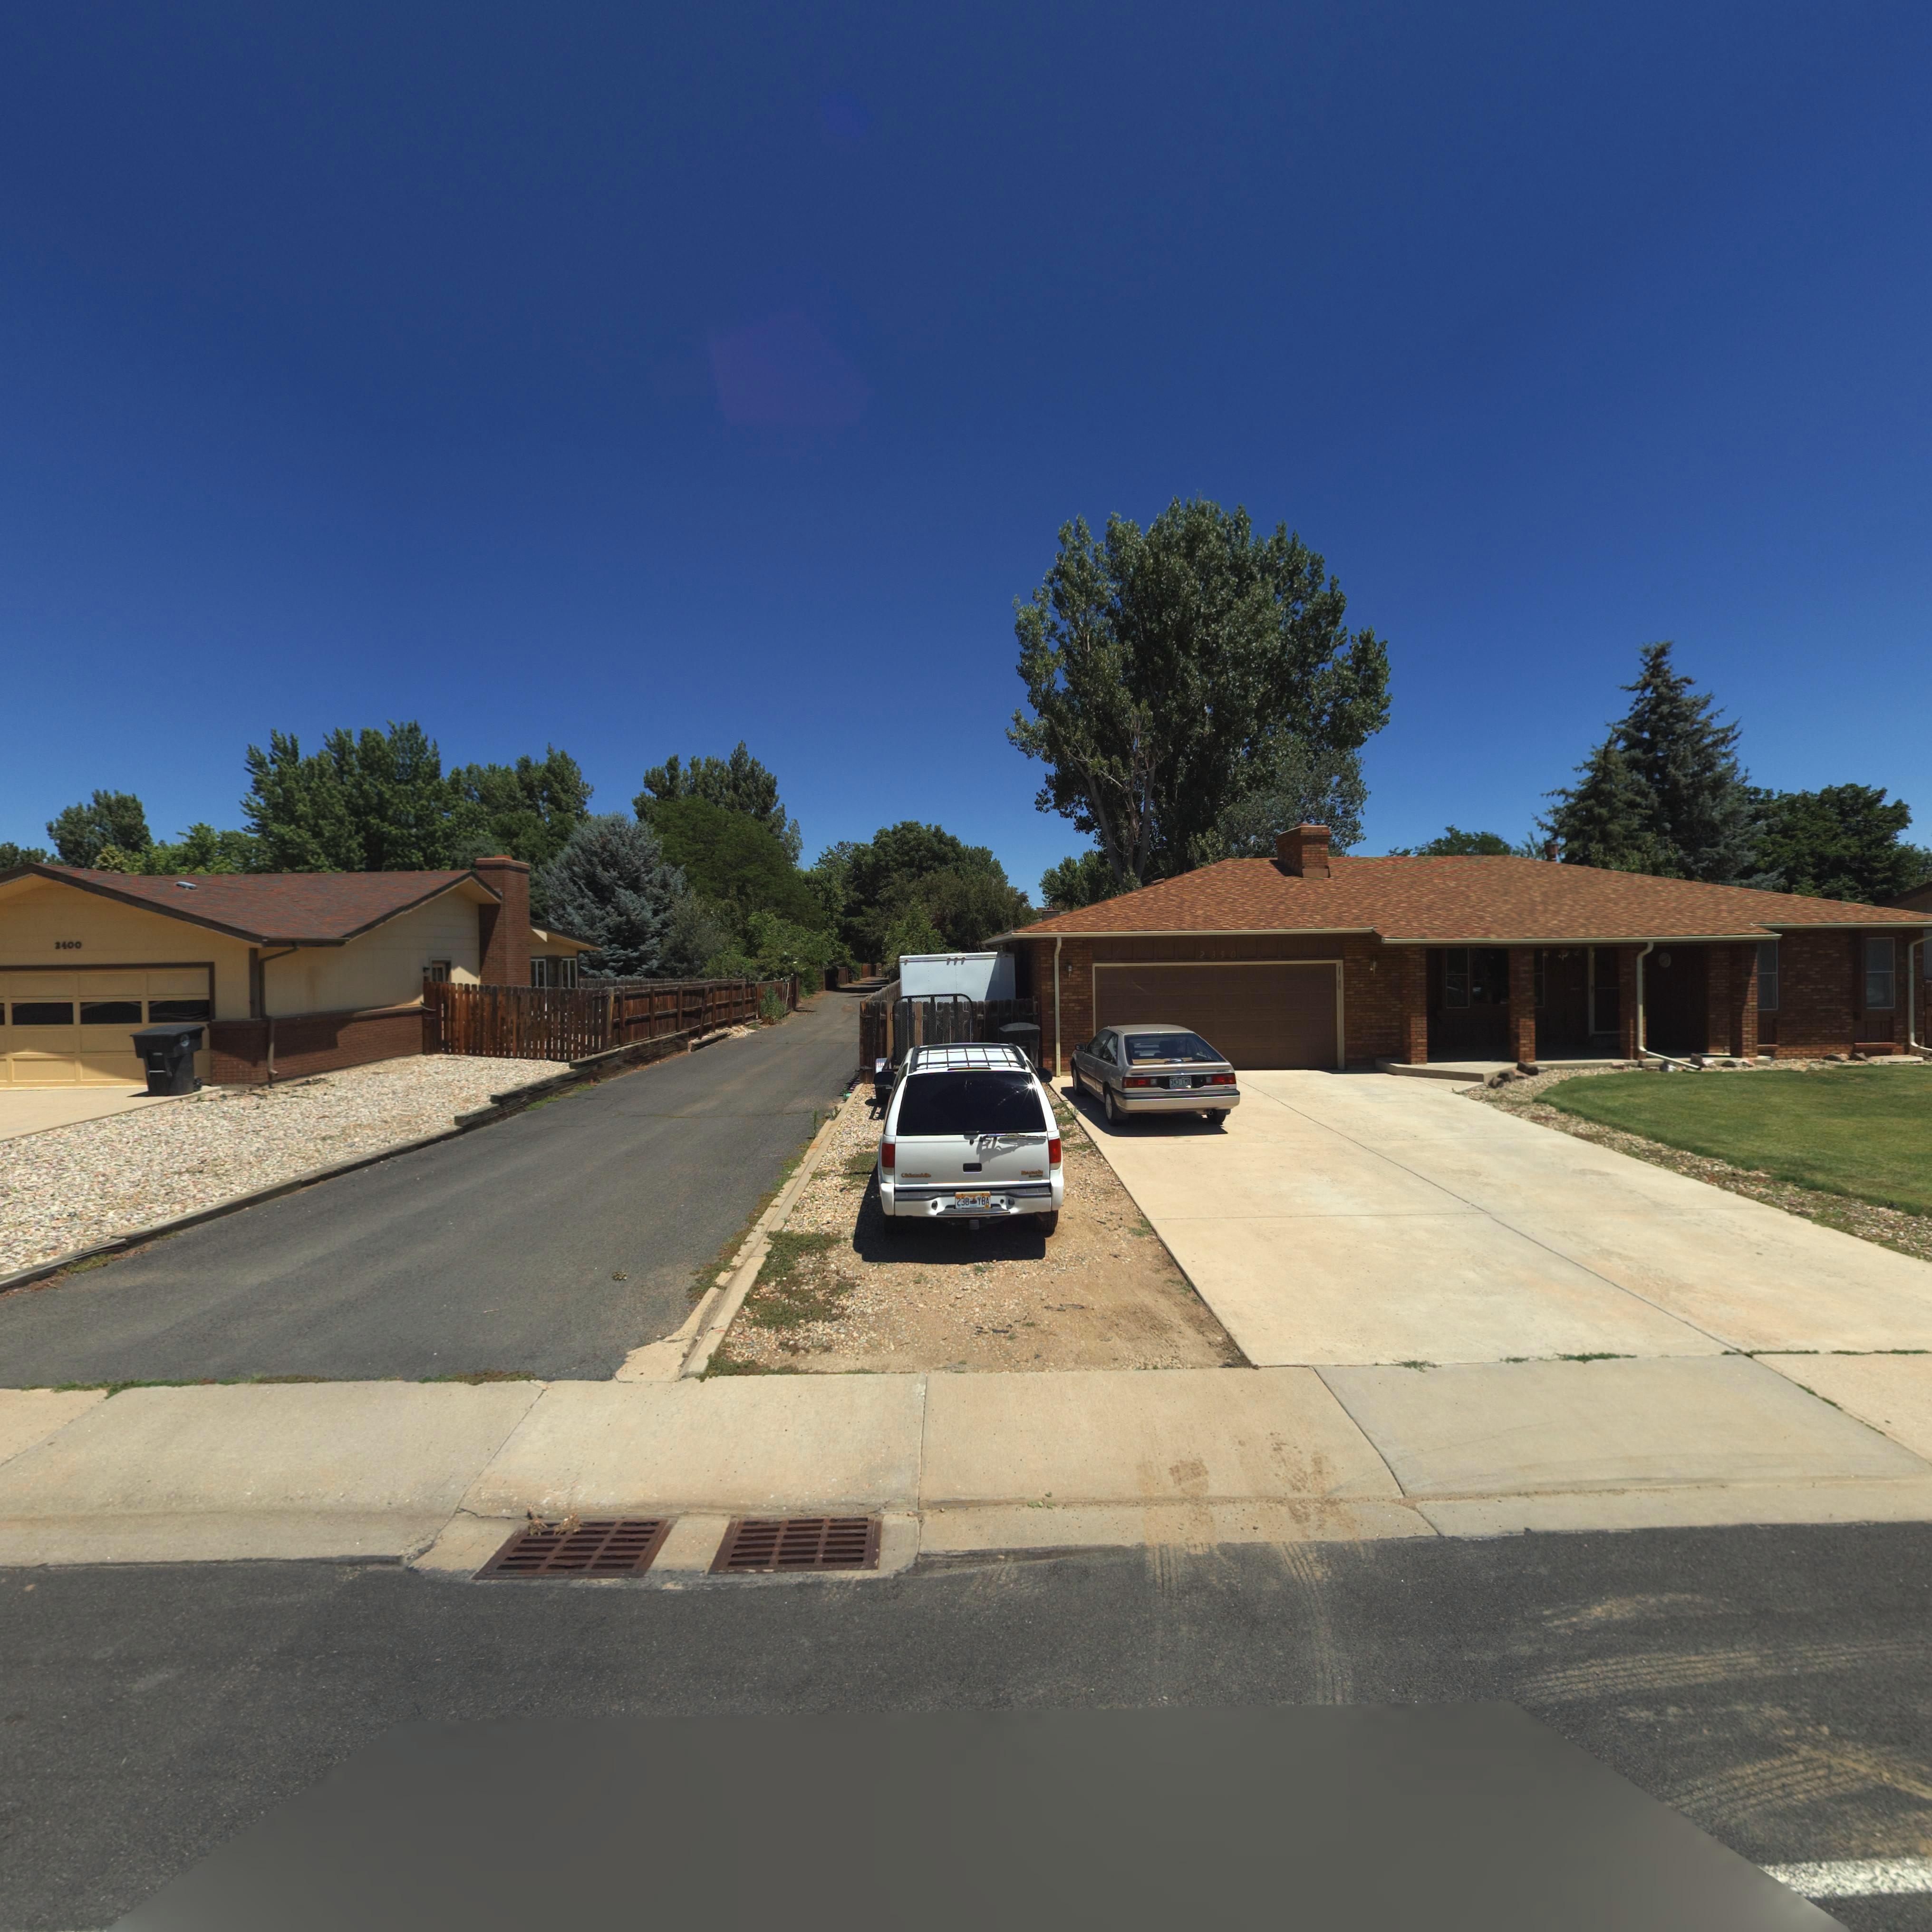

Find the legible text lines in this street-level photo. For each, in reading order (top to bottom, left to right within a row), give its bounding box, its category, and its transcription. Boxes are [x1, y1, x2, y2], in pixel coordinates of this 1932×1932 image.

[54, 941, 82, 949] StreetNumber: 2400
[1198, 950, 1236, 958] StreetNumber: 2350